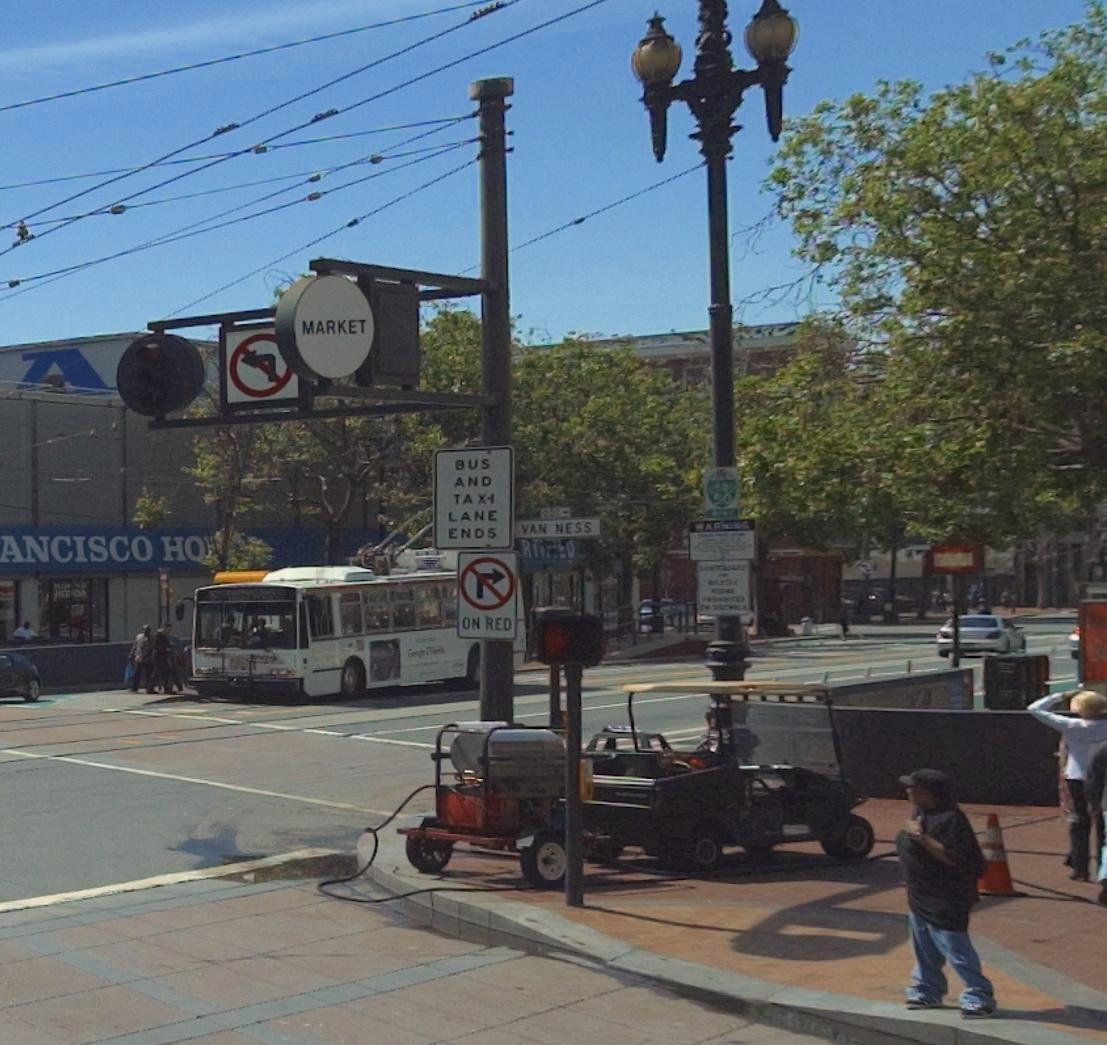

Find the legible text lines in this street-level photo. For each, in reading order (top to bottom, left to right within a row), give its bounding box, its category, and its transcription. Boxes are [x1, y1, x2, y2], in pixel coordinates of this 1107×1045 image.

[297, 315, 368, 337] StreetName: MARKET
[10, 339, 122, 401] None: A
[450, 457, 492, 472] None: BUS
[451, 476, 494, 489] None: AND
[451, 492, 496, 507] None: TAX*
[445, 509, 497, 523] None: LANE
[445, 527, 498, 541] None: ENDS
[519, 522, 593, 535] StreetName: VAN NESS
[693, 519, 750, 532] None: WAR***G
[1, 533, 207, 565] BusinessName: ANCISCO HO
[520, 538, 531, 559] None: R
[458, 614, 512, 633] None: ON RED